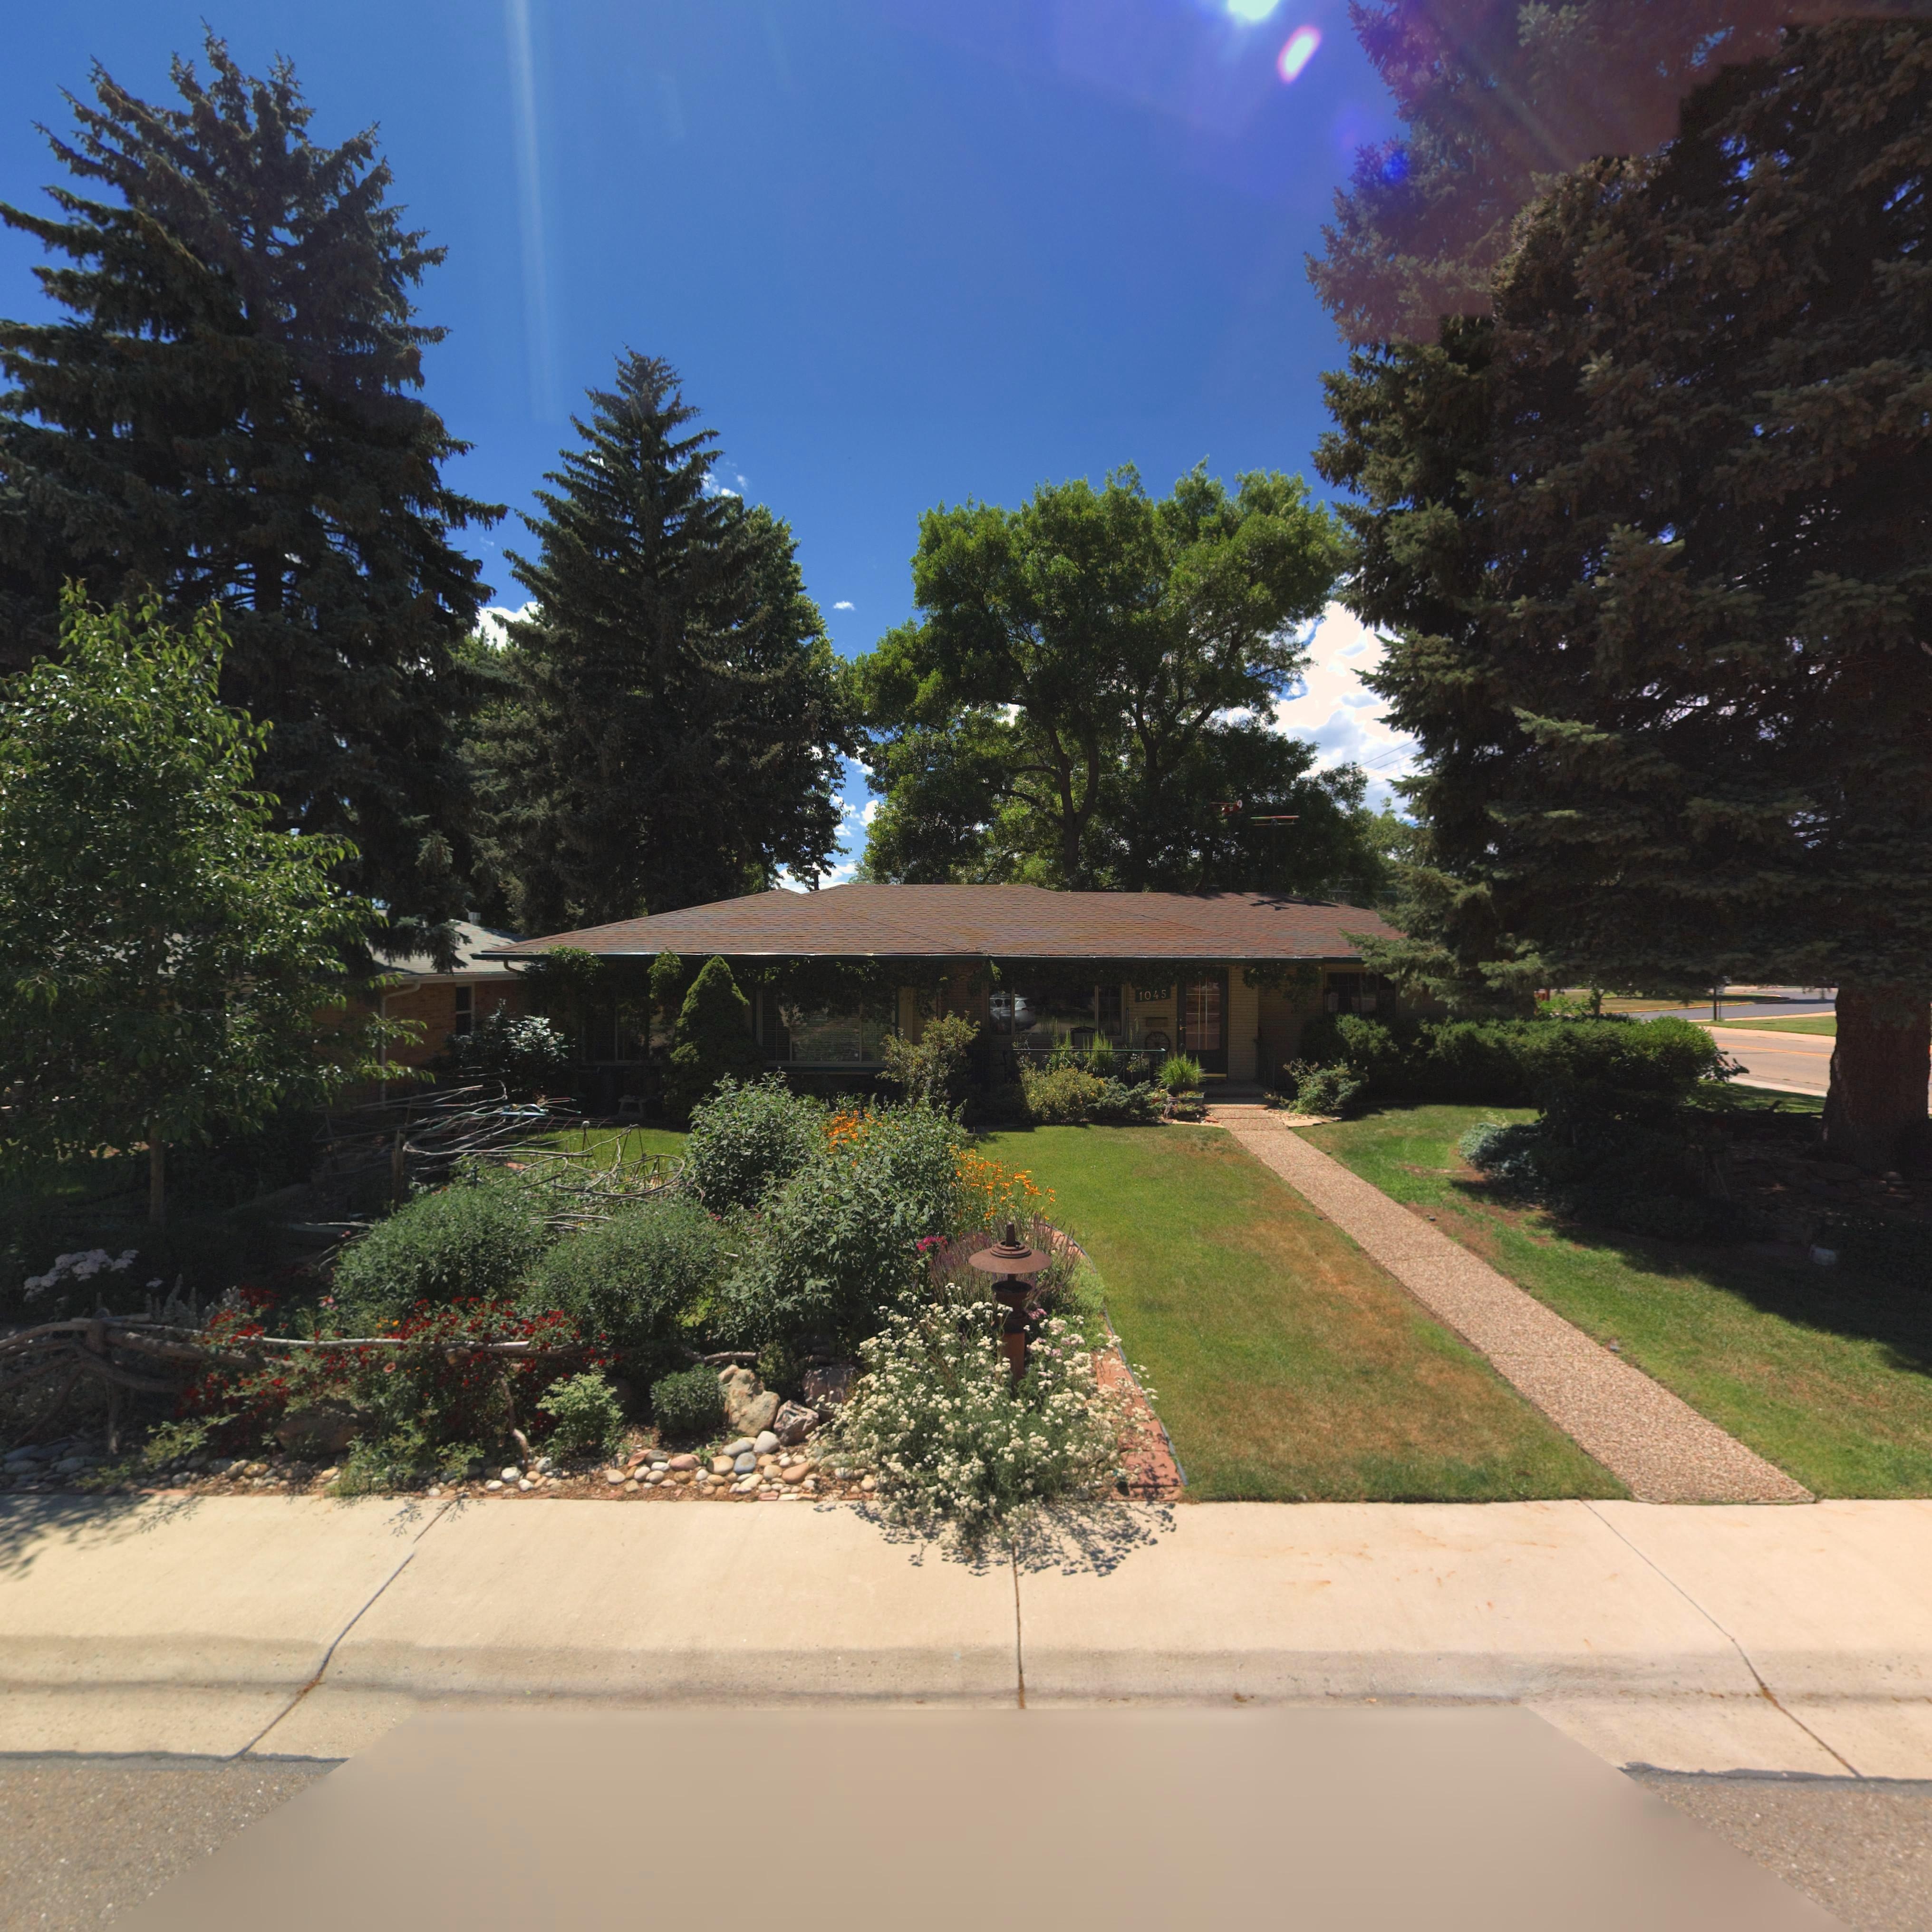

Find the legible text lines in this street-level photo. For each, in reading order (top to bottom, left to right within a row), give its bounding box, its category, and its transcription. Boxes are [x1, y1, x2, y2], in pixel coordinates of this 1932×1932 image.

[1139, 989, 1166, 1001] StreetNumber: 1045